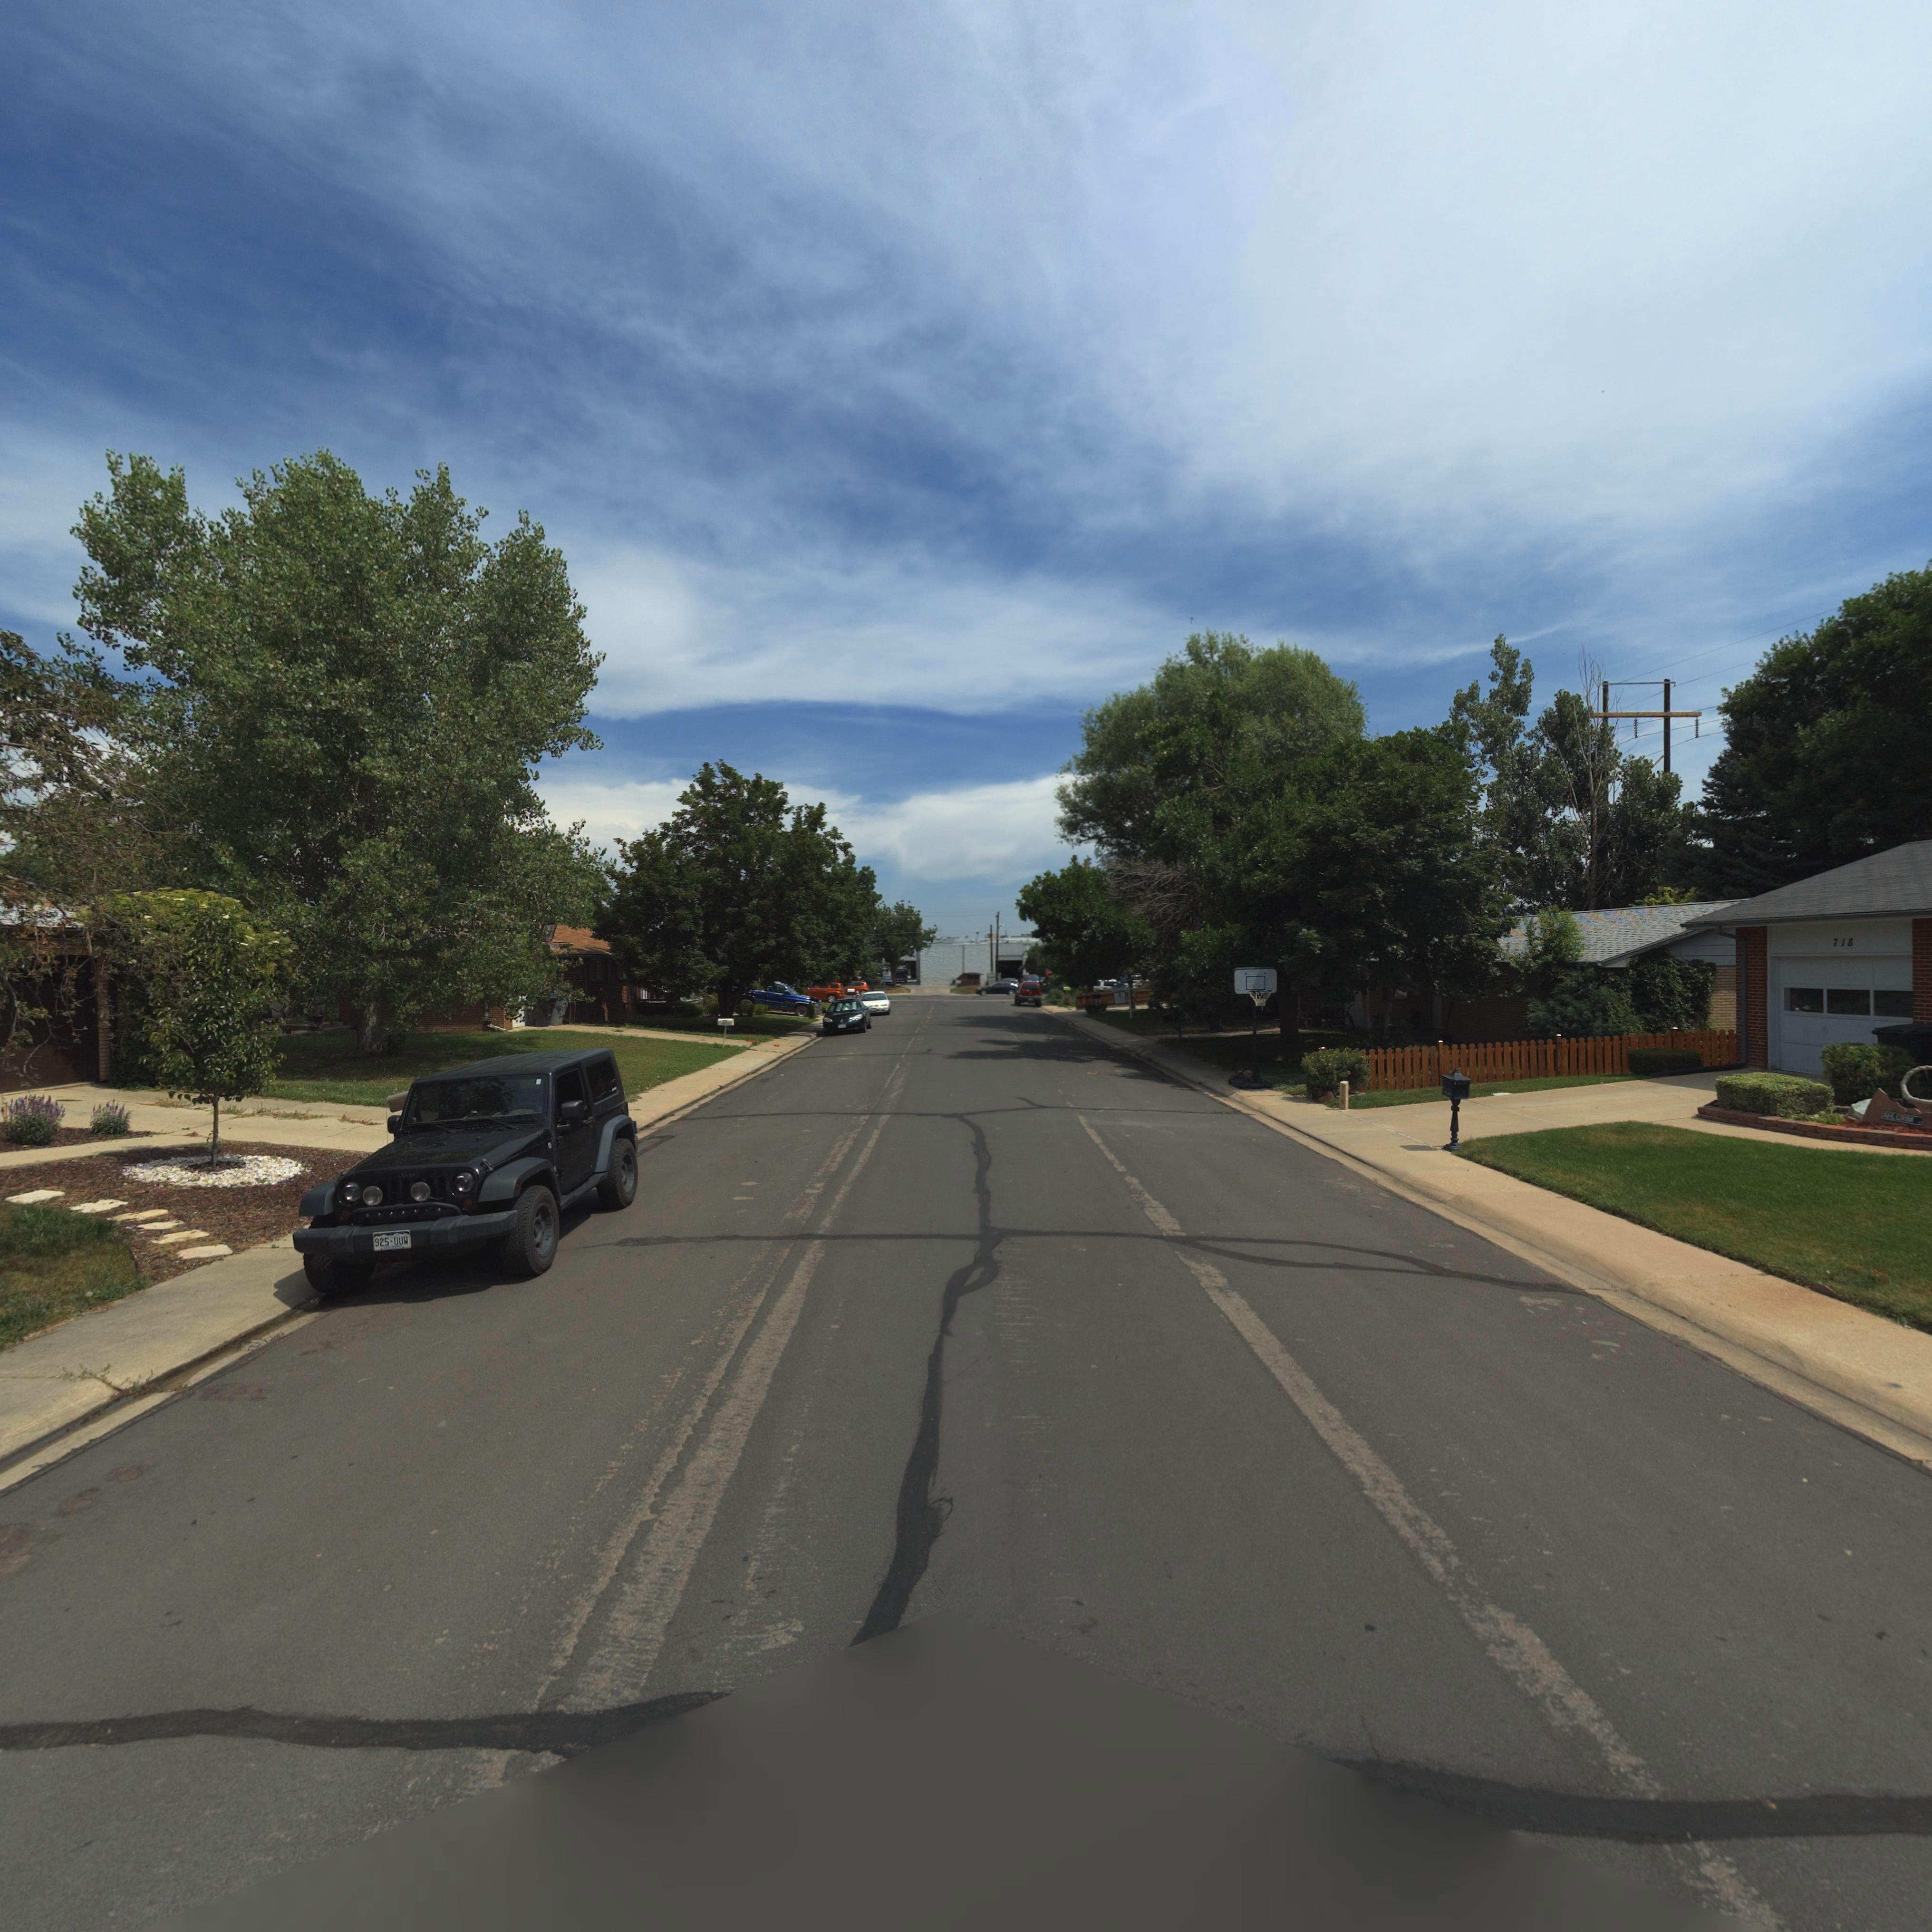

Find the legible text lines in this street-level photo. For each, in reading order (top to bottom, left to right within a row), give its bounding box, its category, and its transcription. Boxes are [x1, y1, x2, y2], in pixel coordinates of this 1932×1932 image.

[1832, 937, 1855, 947] StreetNumber: 718